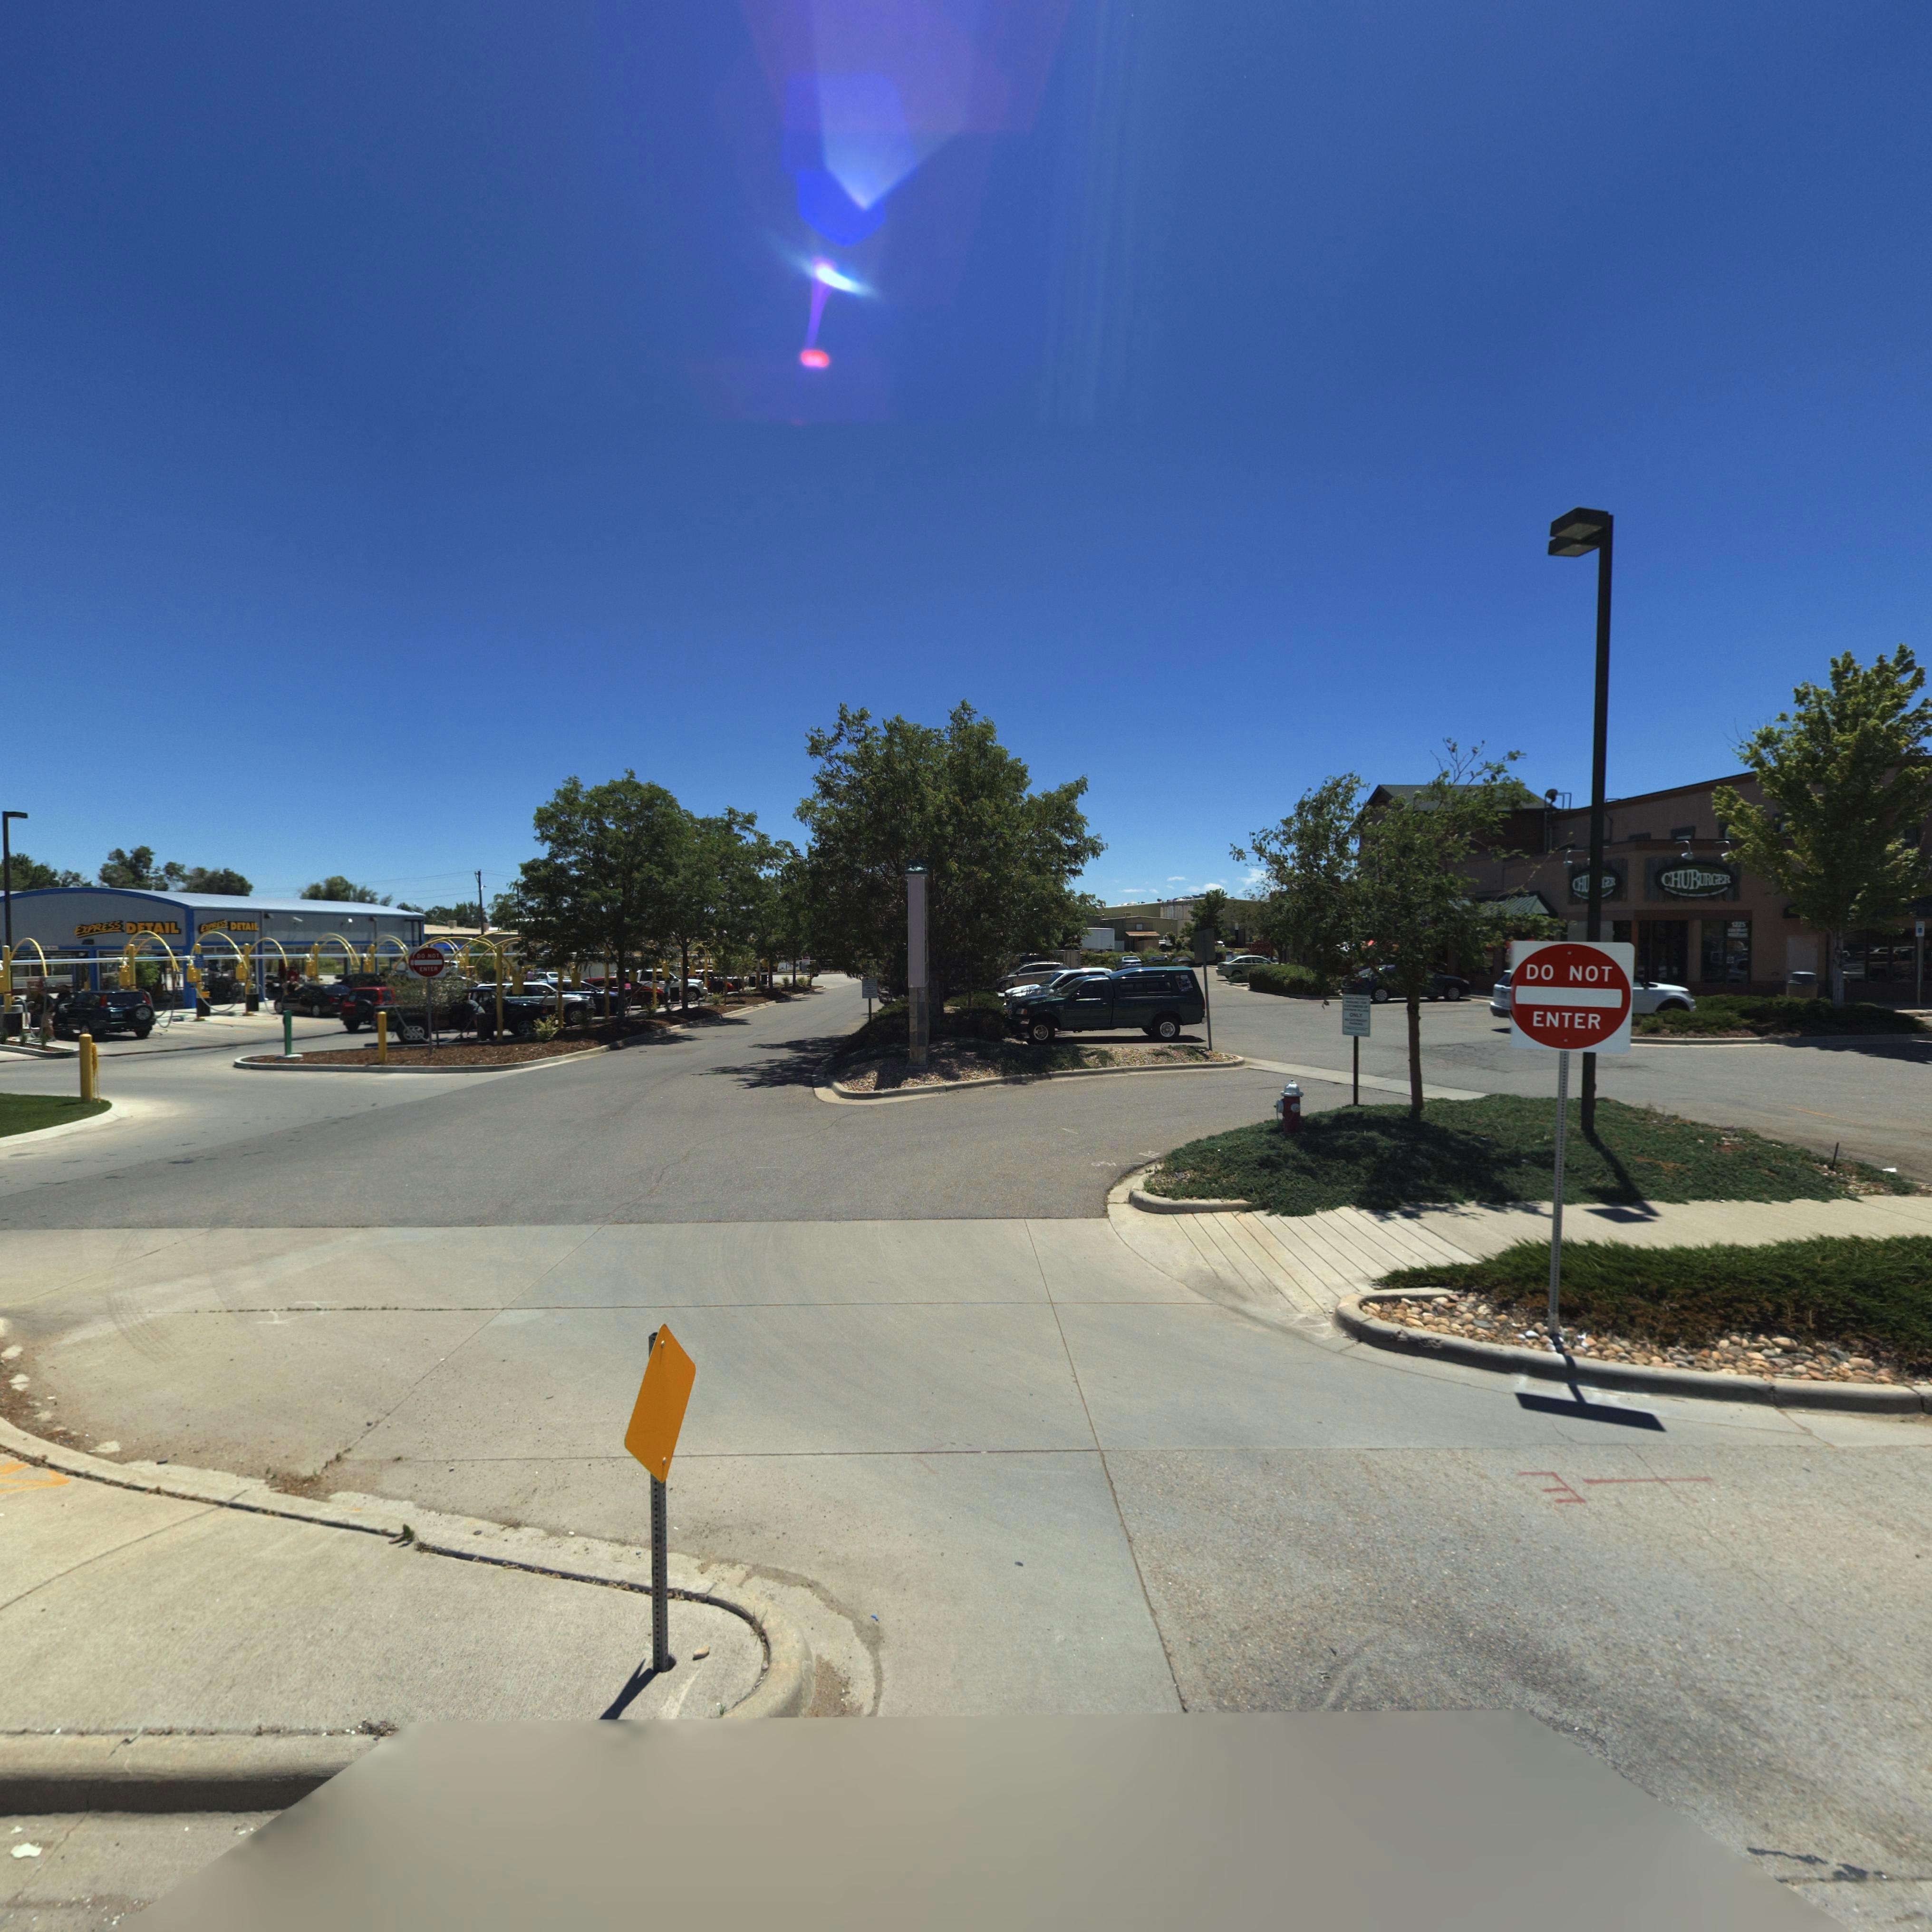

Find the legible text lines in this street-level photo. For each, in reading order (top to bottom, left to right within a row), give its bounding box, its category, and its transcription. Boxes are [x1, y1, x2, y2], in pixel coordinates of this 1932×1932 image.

[1571, 874, 1616, 893] BusinessName: CHU***GER
[1661, 869, 1731, 890] BusinessName: CHUBURGER
[74, 919, 121, 936] BusinessName: EXPRESS
[125, 921, 179, 934] BusinessName: D**AIL
[200, 919, 228, 932] BusinessName: EXPRESS
[230, 921, 259, 931] BusinessName: DETAIL
[1731, 921, 1746, 927] BusinessName: 1225
[1533, 1011, 1600, 1029] BusinessName: ENTER